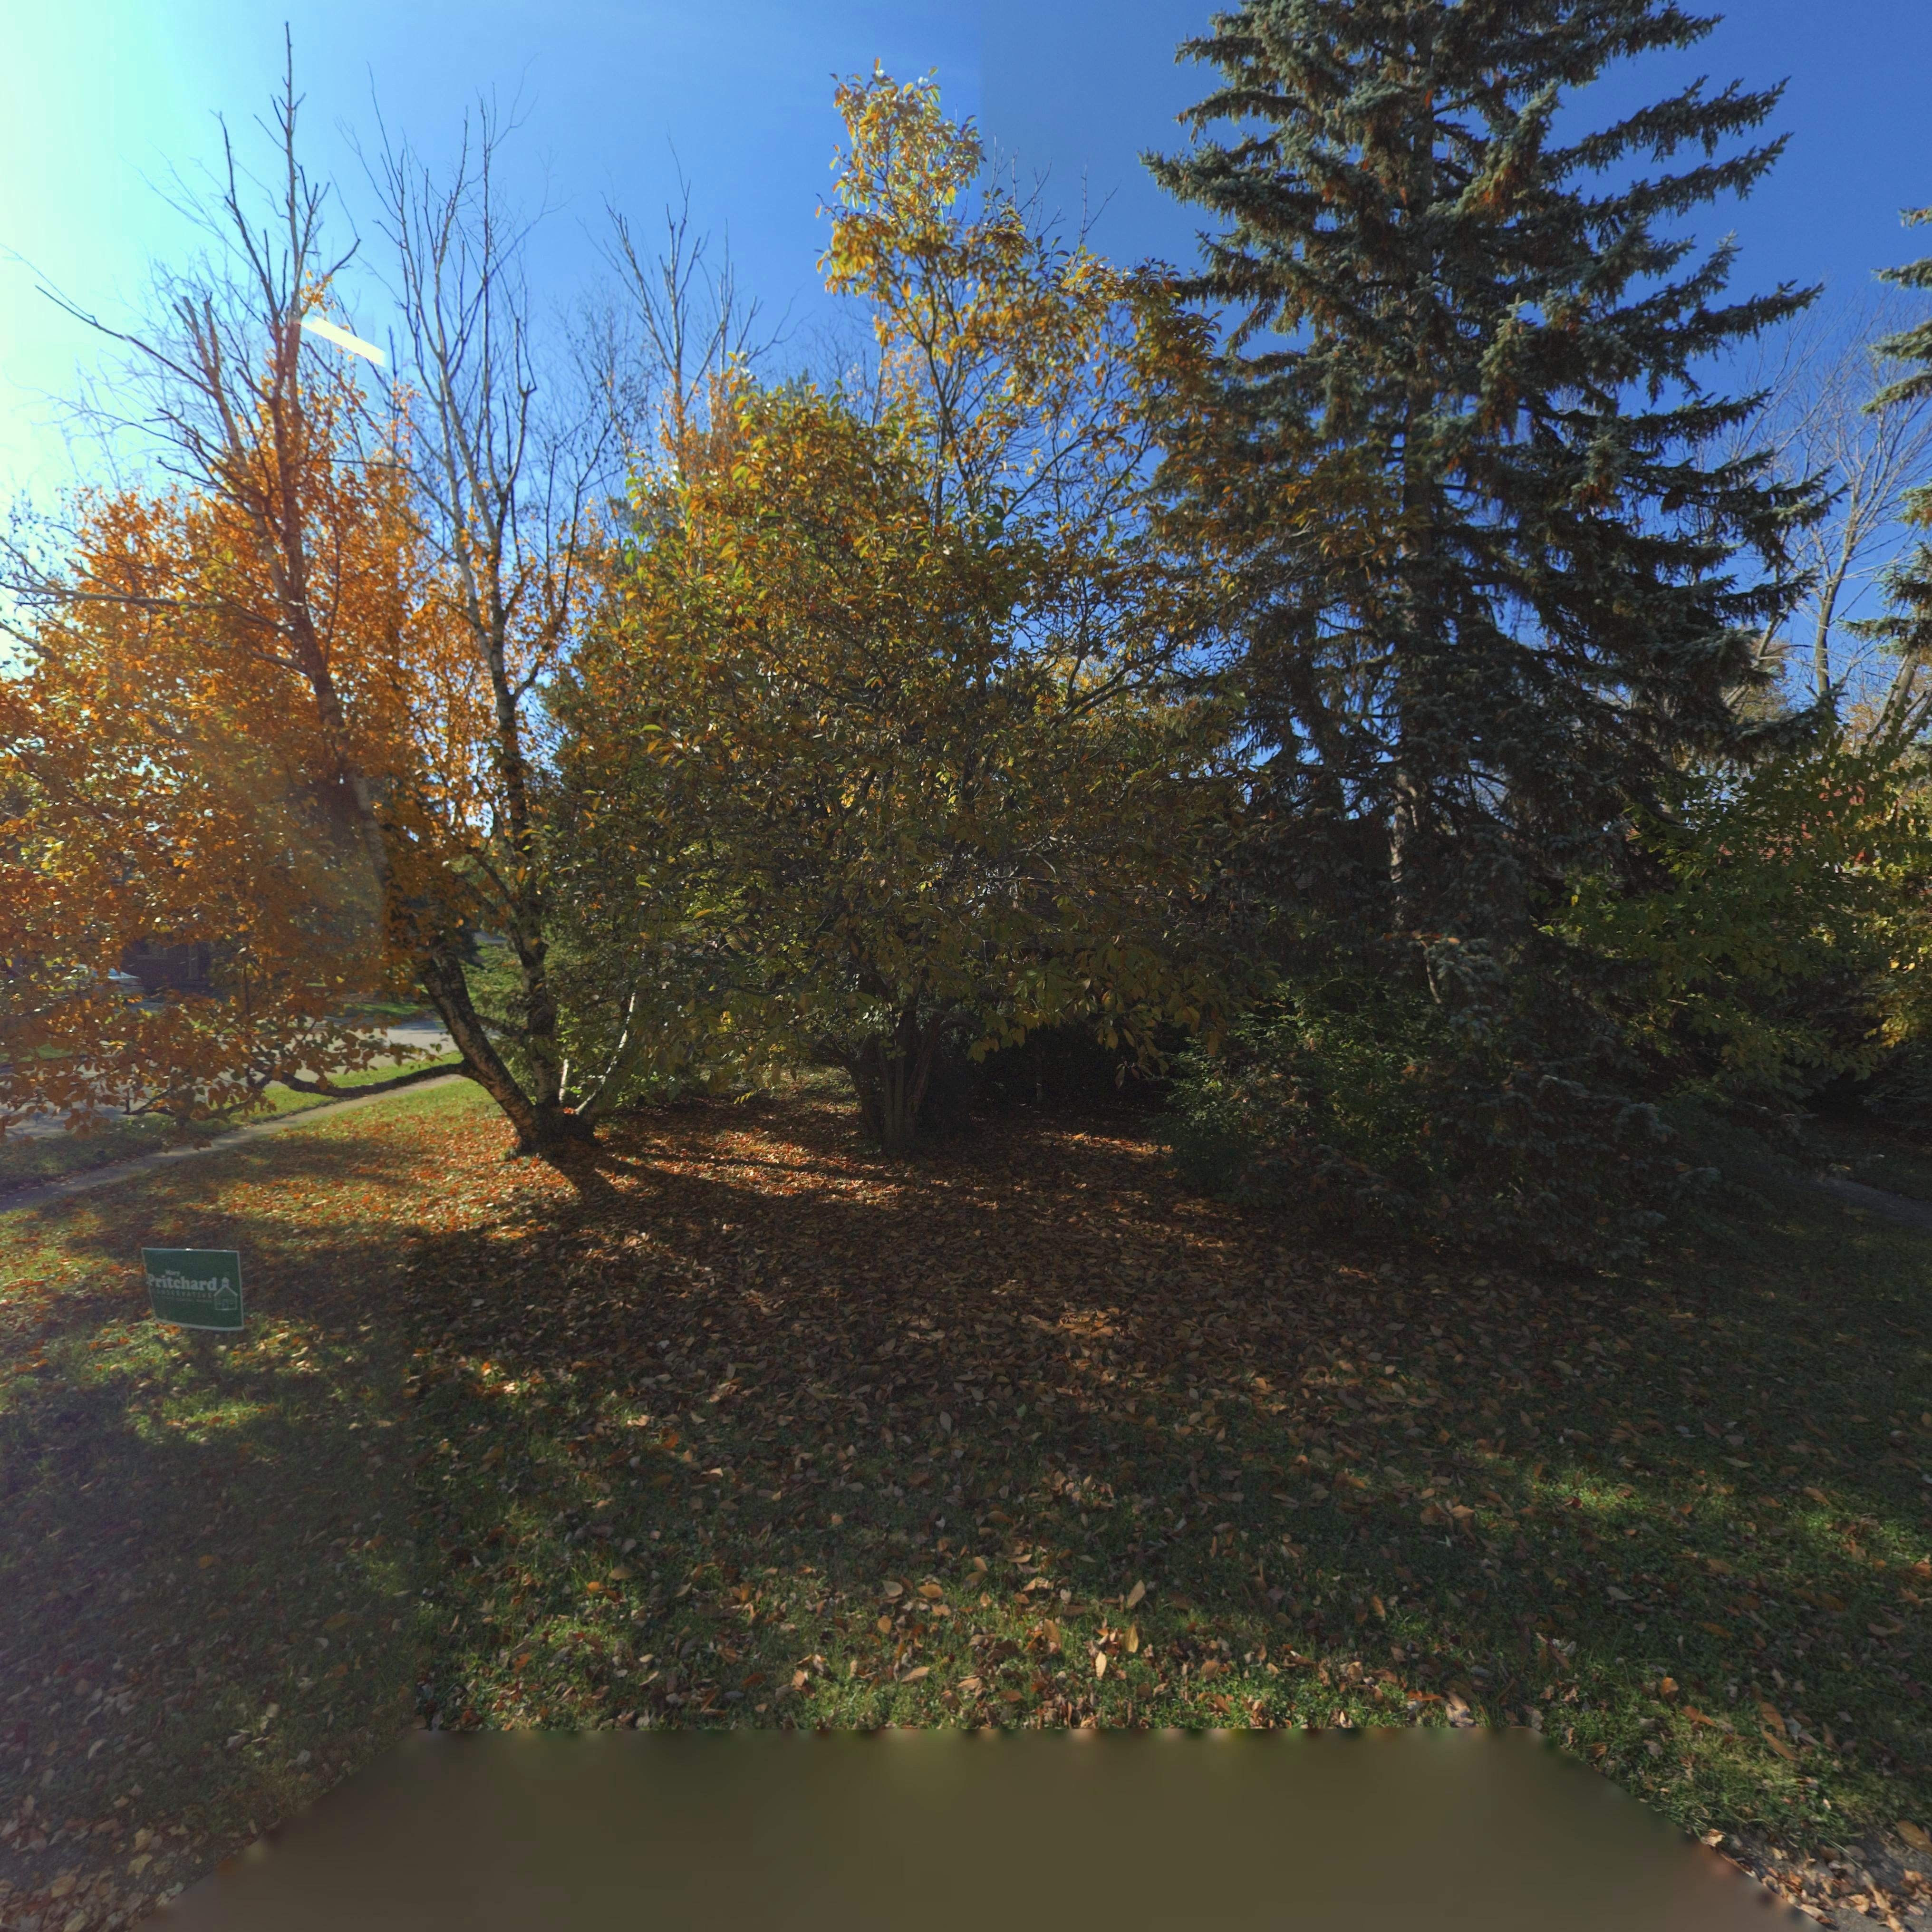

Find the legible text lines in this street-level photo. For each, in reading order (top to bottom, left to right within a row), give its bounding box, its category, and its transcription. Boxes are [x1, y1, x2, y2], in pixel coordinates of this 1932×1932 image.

[164, 1269, 181, 1278] None: Mary
[147, 1273, 218, 1292] None: Pritchard
[150, 1287, 213, 1299] None: CONSERVATIVE